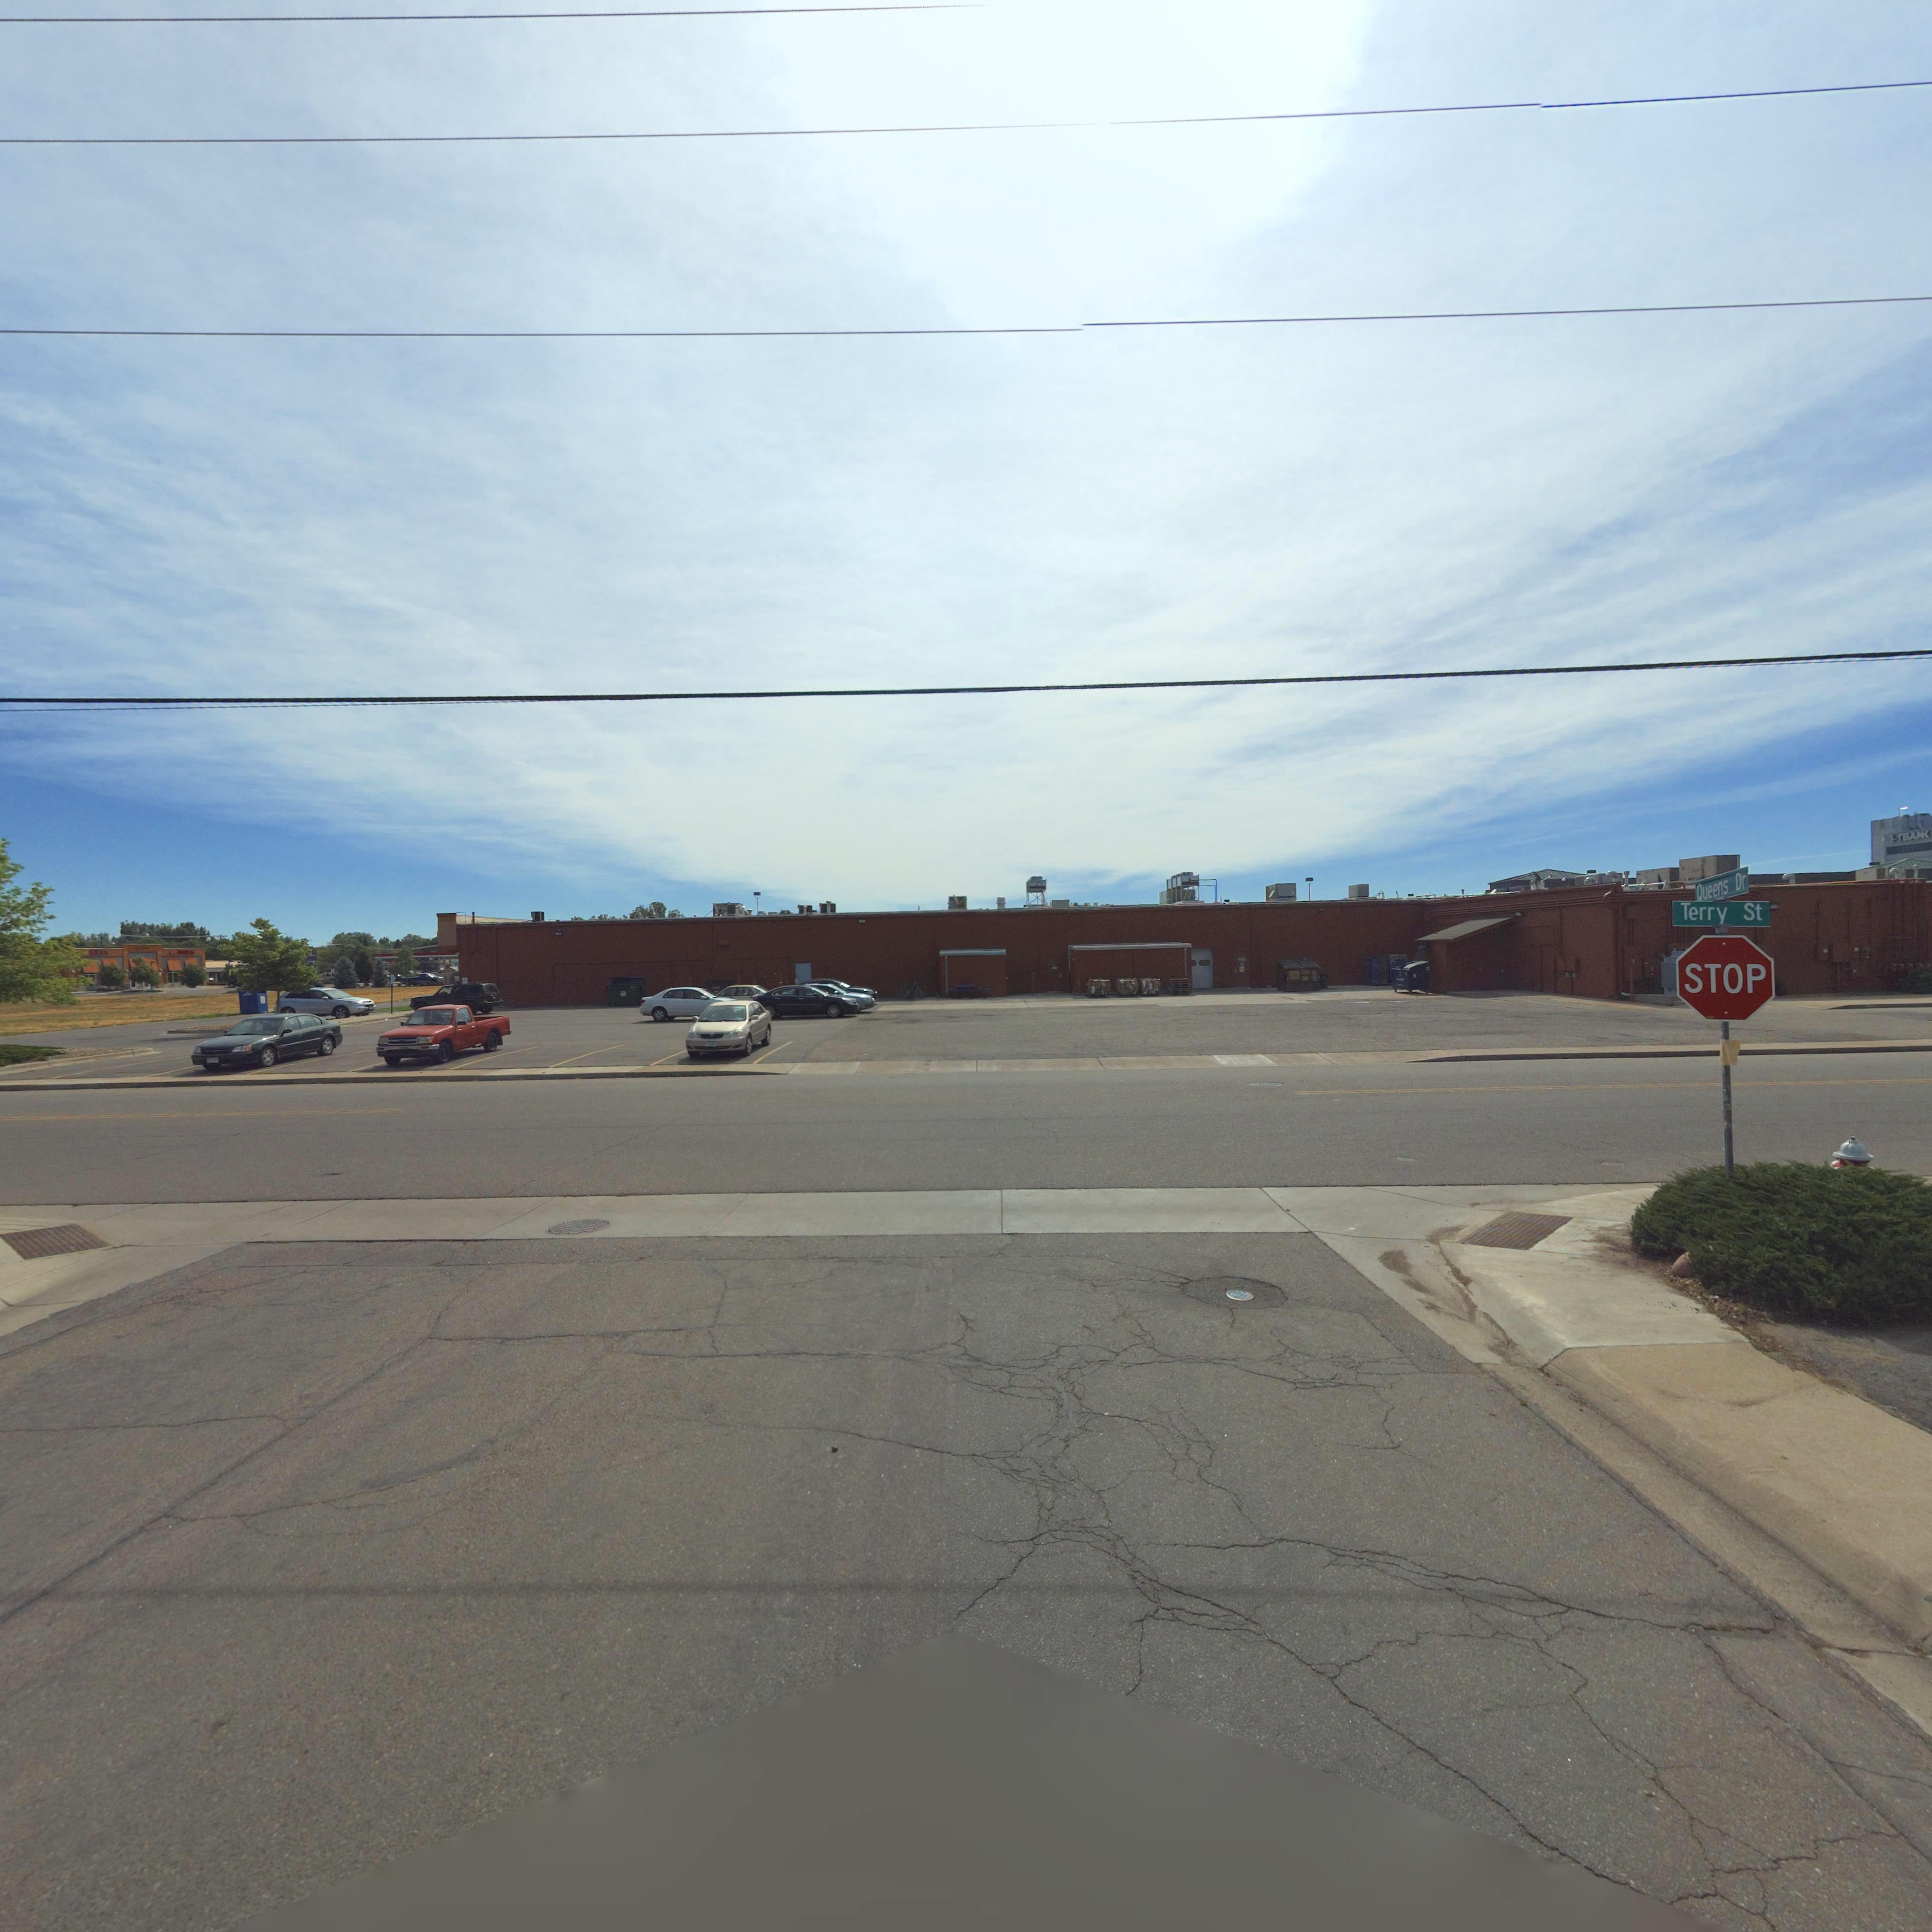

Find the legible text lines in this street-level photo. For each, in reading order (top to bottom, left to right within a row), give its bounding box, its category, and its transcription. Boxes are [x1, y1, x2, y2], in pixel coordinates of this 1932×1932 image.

[1887, 829, 1931, 843] BusinessName: 1STBANK
[1696, 871, 1747, 901] StreetName: Queens Dr
[1680, 902, 1763, 925] StreetName: Terry St